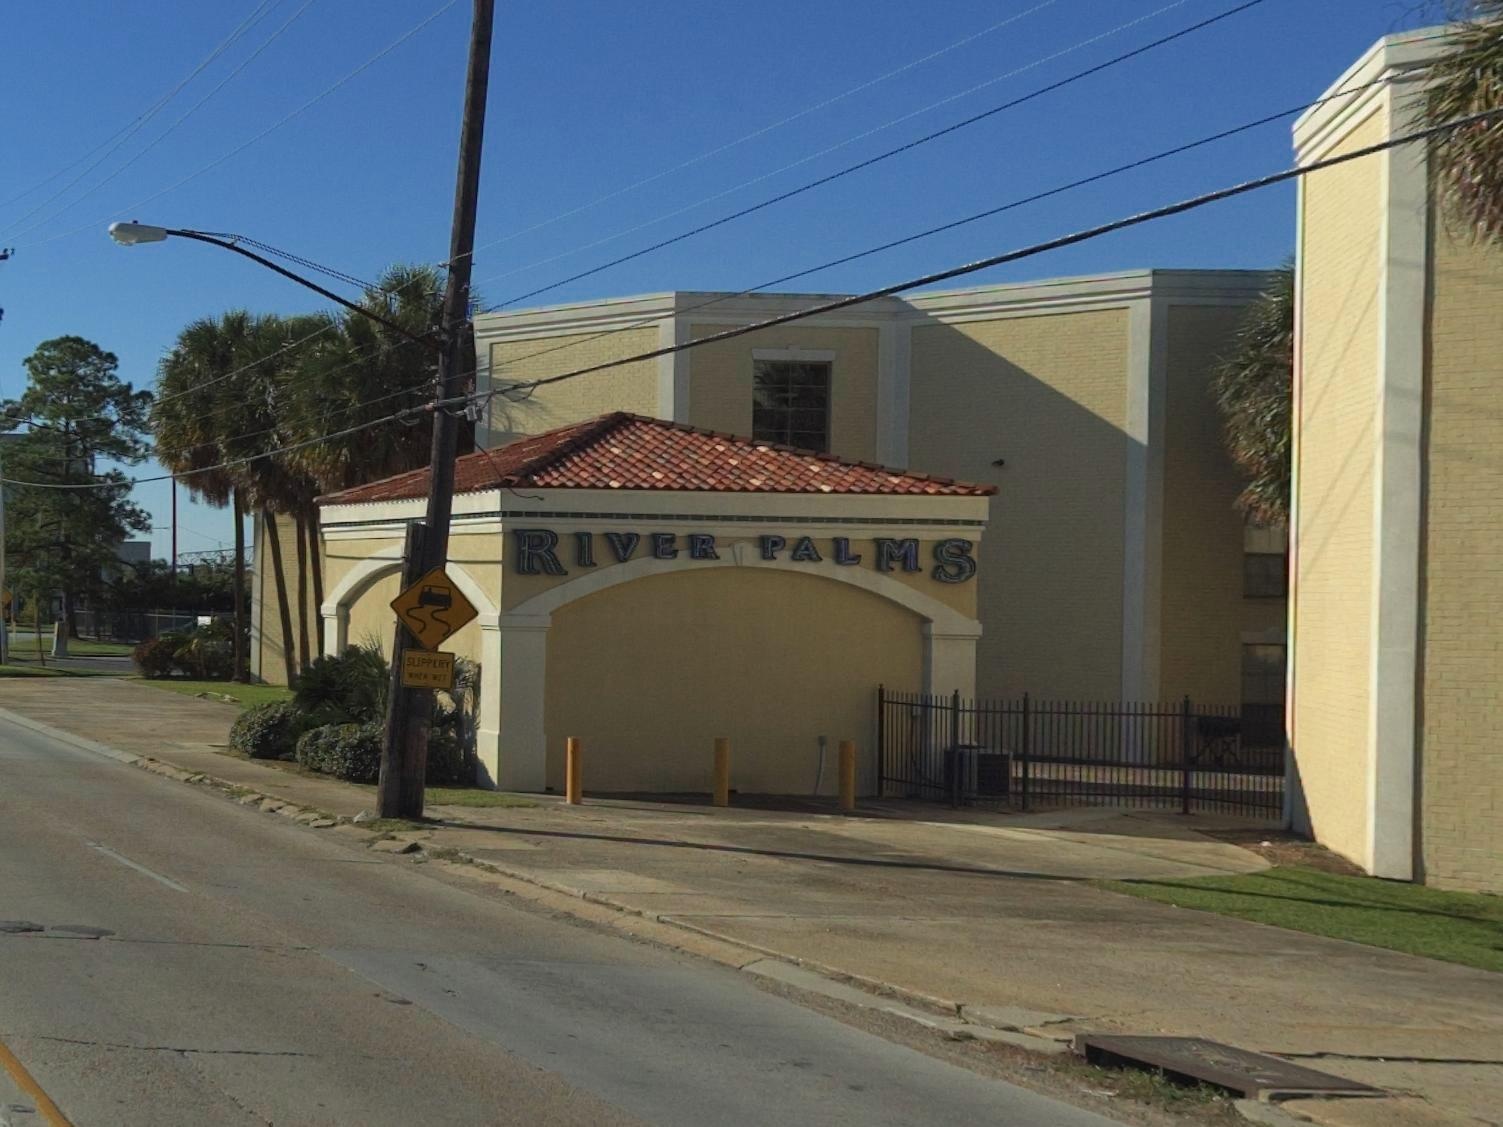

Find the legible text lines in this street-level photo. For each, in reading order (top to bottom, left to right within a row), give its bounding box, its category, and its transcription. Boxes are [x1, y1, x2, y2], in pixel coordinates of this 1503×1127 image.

[510, 526, 982, 587] BusinessName: RIVER PALMS
[404, 655, 454, 672] None: SLIPP***